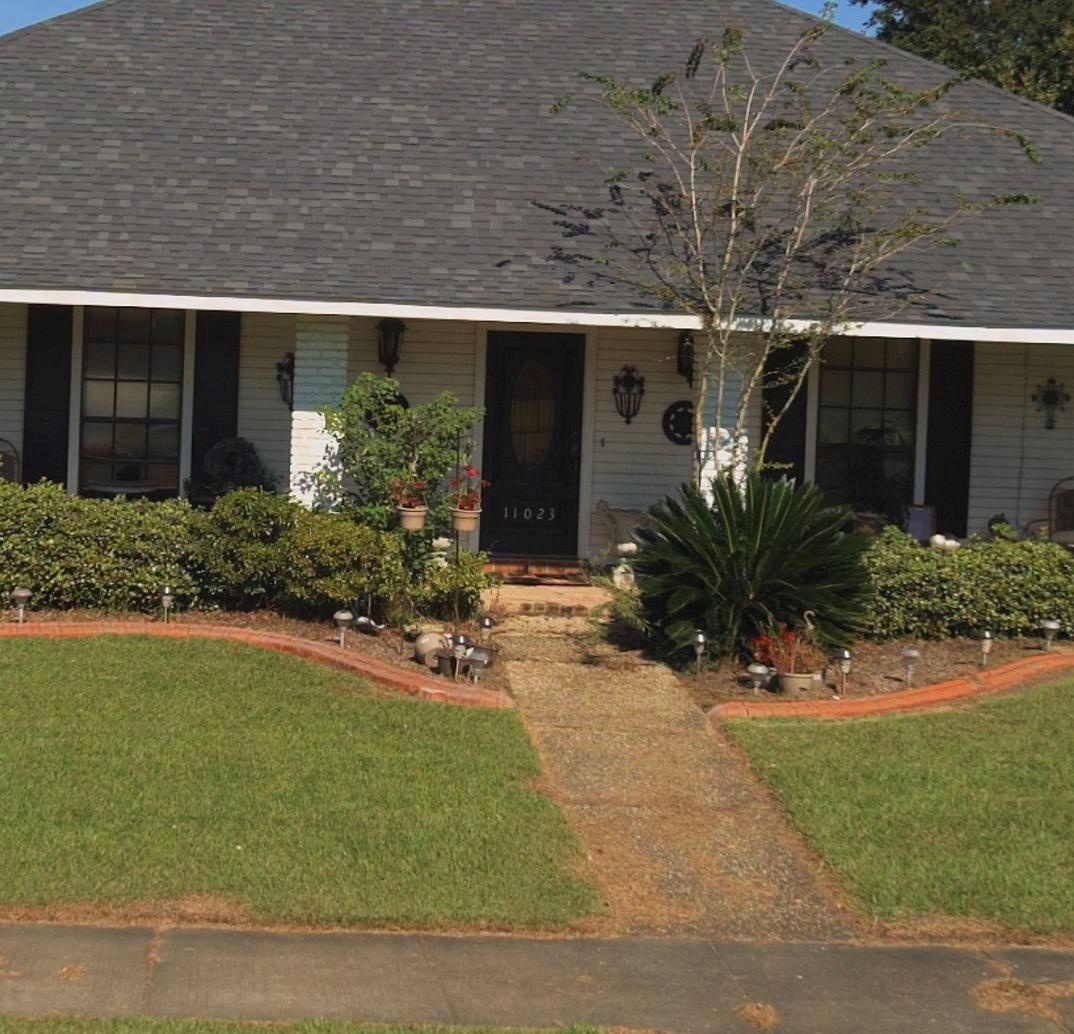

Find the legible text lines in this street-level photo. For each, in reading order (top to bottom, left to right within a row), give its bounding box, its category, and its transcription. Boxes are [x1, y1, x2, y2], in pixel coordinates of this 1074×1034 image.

[502, 505, 556, 522] StreetNumber: 11023